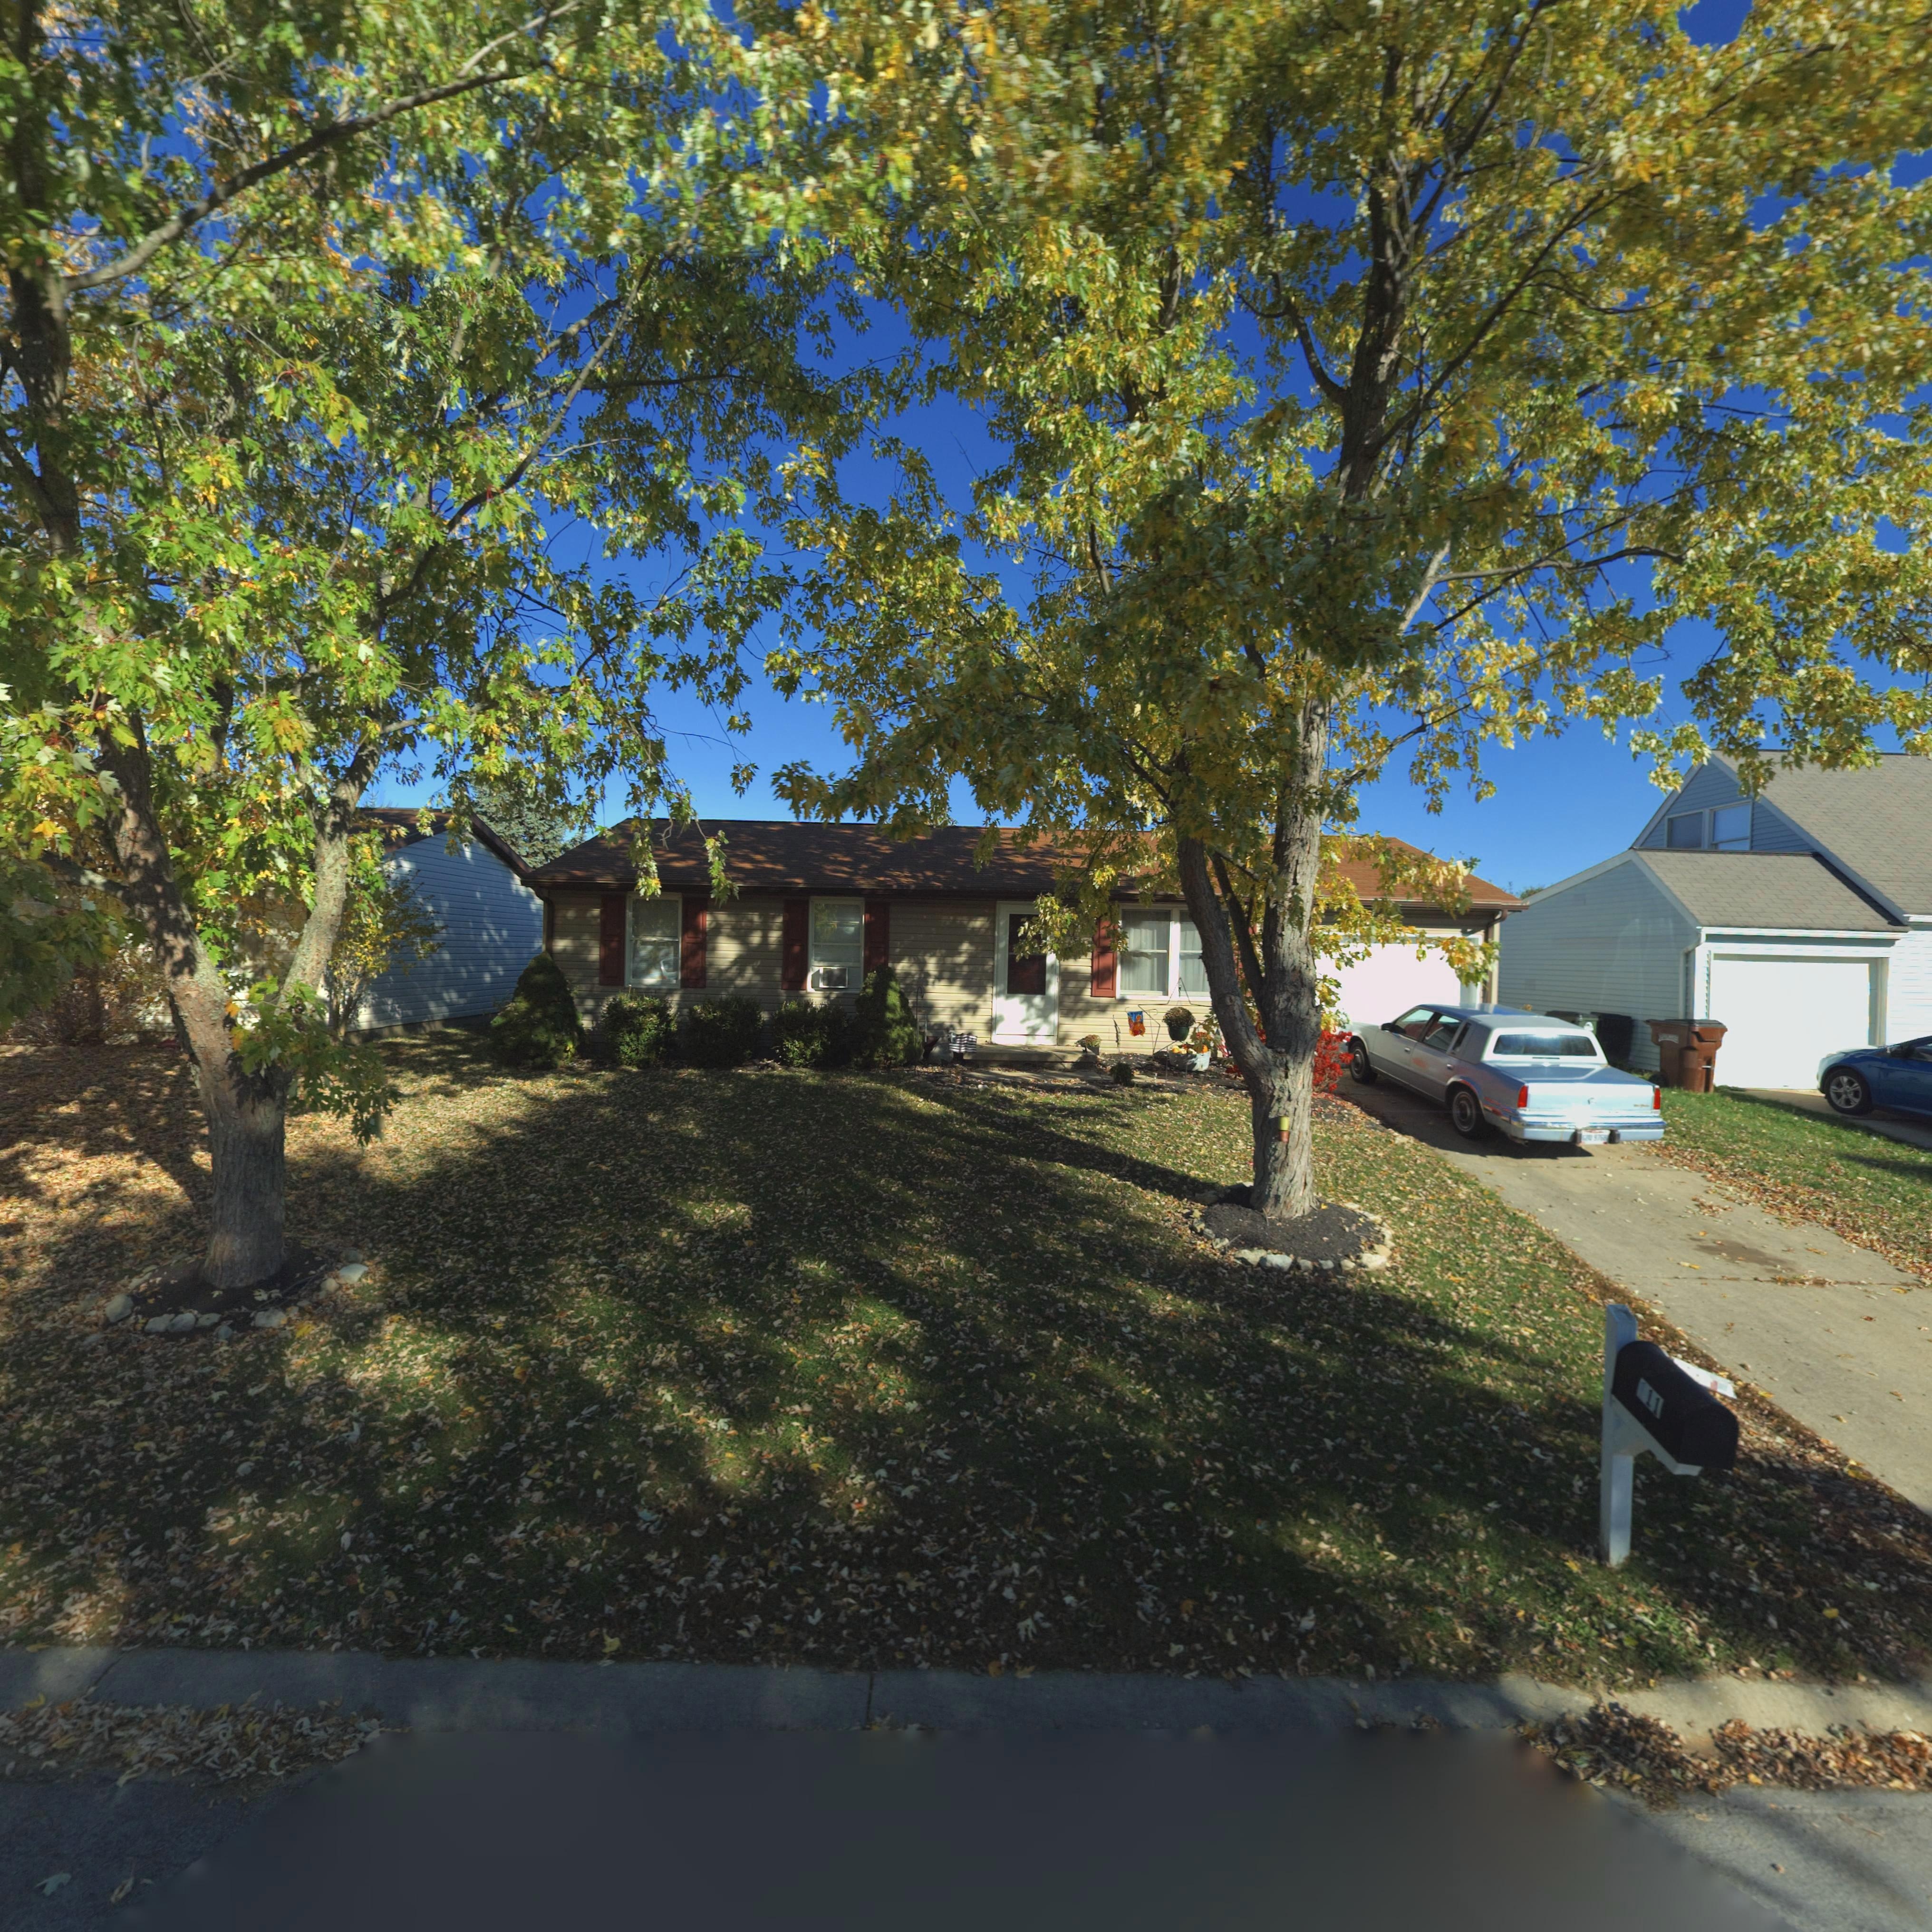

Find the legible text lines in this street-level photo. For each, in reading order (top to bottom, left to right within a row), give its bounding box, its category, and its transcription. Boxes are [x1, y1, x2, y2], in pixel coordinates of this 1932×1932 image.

[1636, 1379, 1662, 1418] StreetNumber: 111